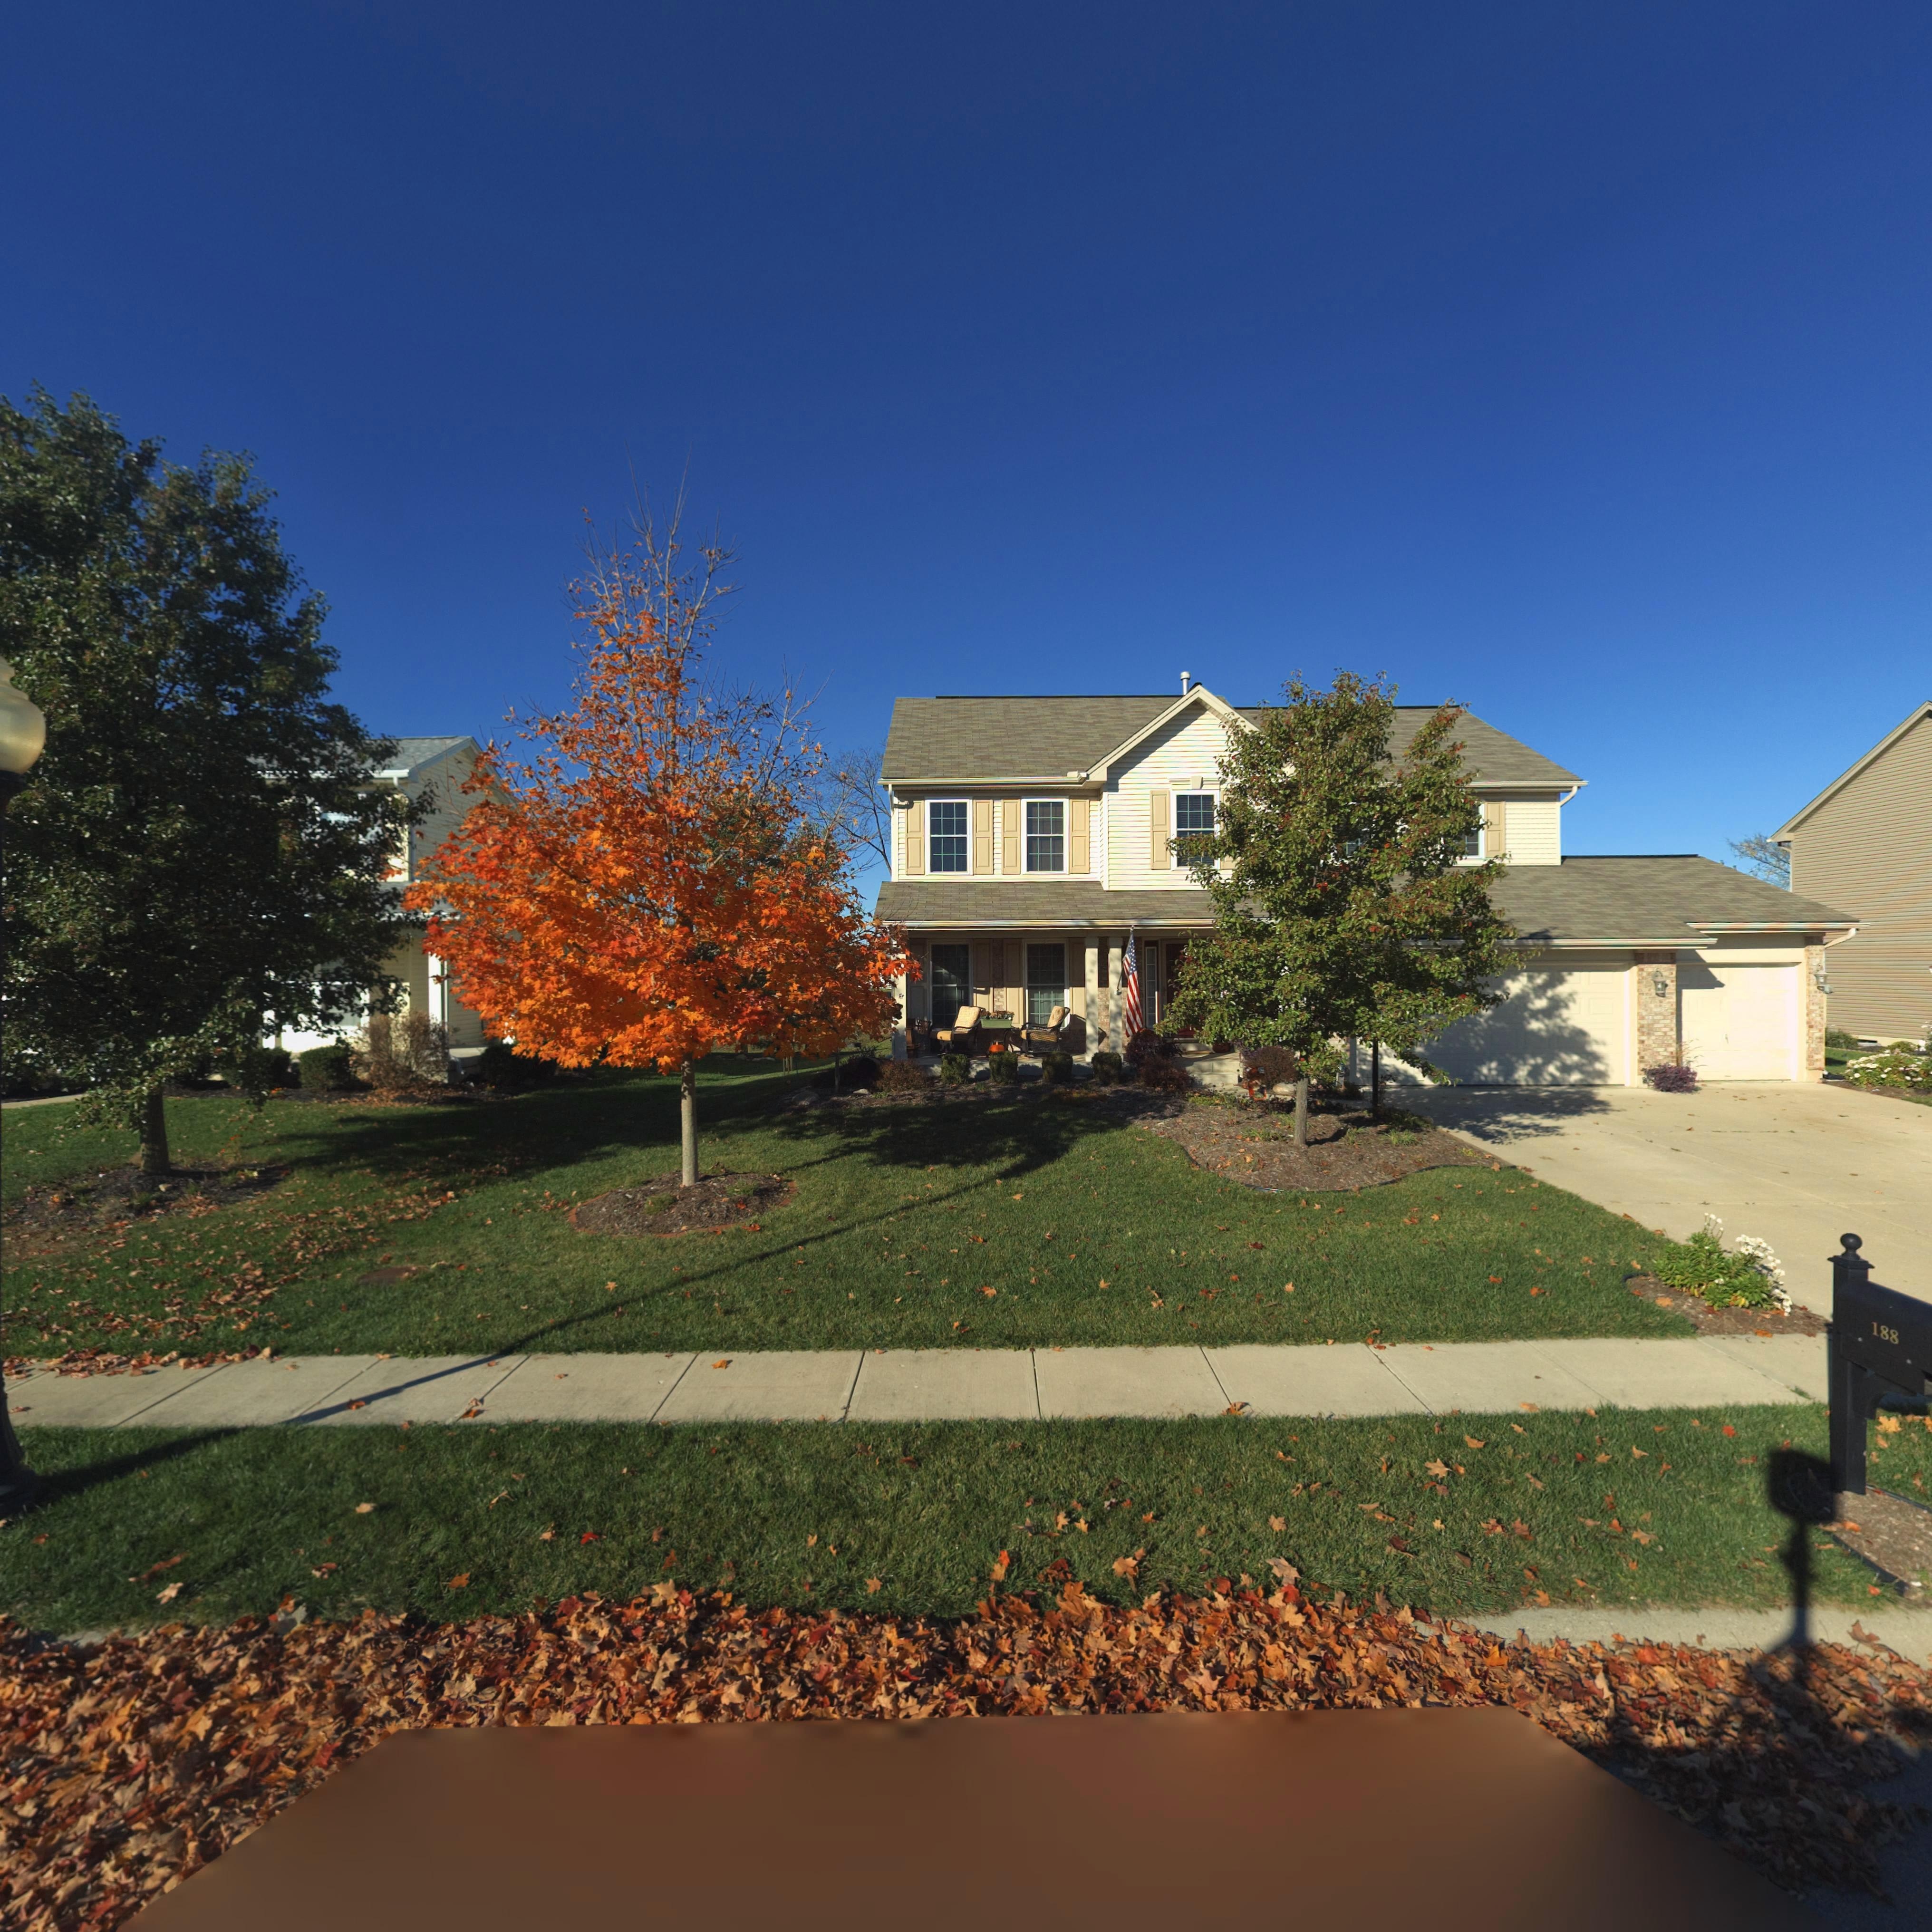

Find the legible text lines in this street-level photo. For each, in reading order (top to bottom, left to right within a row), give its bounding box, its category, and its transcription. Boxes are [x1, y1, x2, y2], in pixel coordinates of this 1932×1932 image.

[1870, 1320, 1900, 1346] StreetNumber: 188